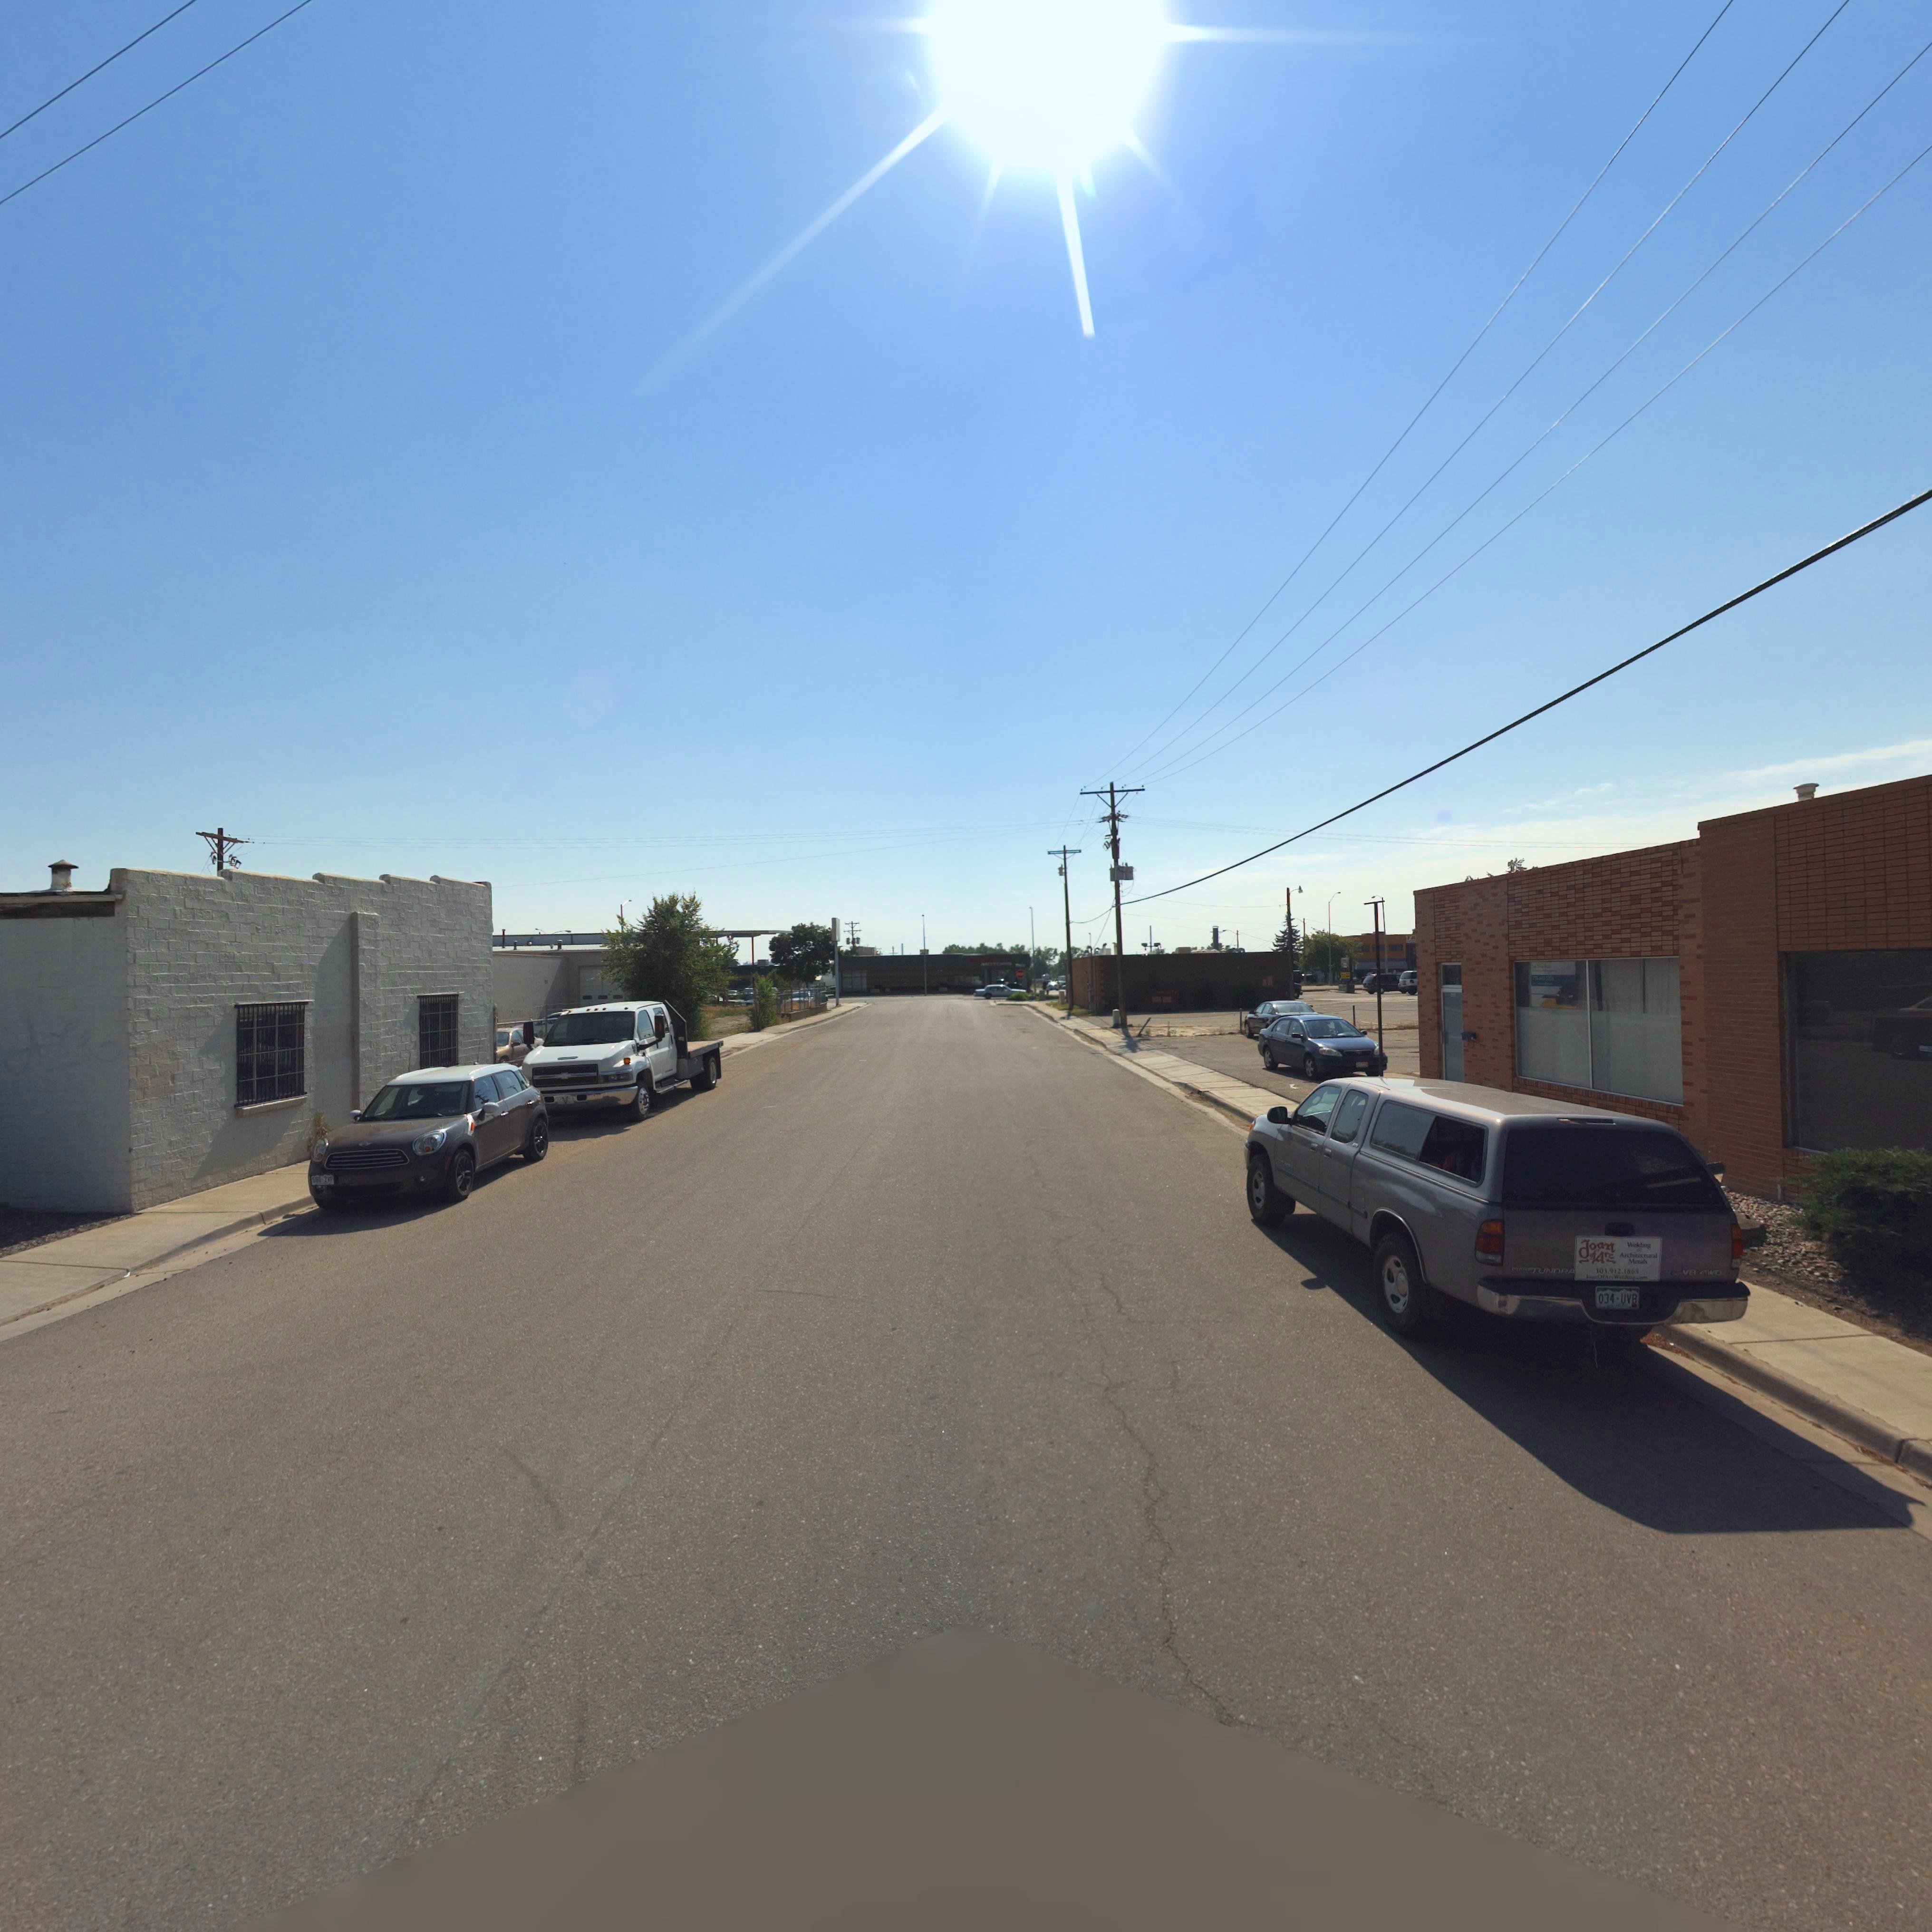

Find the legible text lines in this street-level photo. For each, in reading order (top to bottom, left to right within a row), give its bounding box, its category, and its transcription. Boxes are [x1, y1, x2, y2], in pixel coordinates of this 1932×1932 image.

[1530, 963, 1552, 969] BusinessName: The S**** S**p